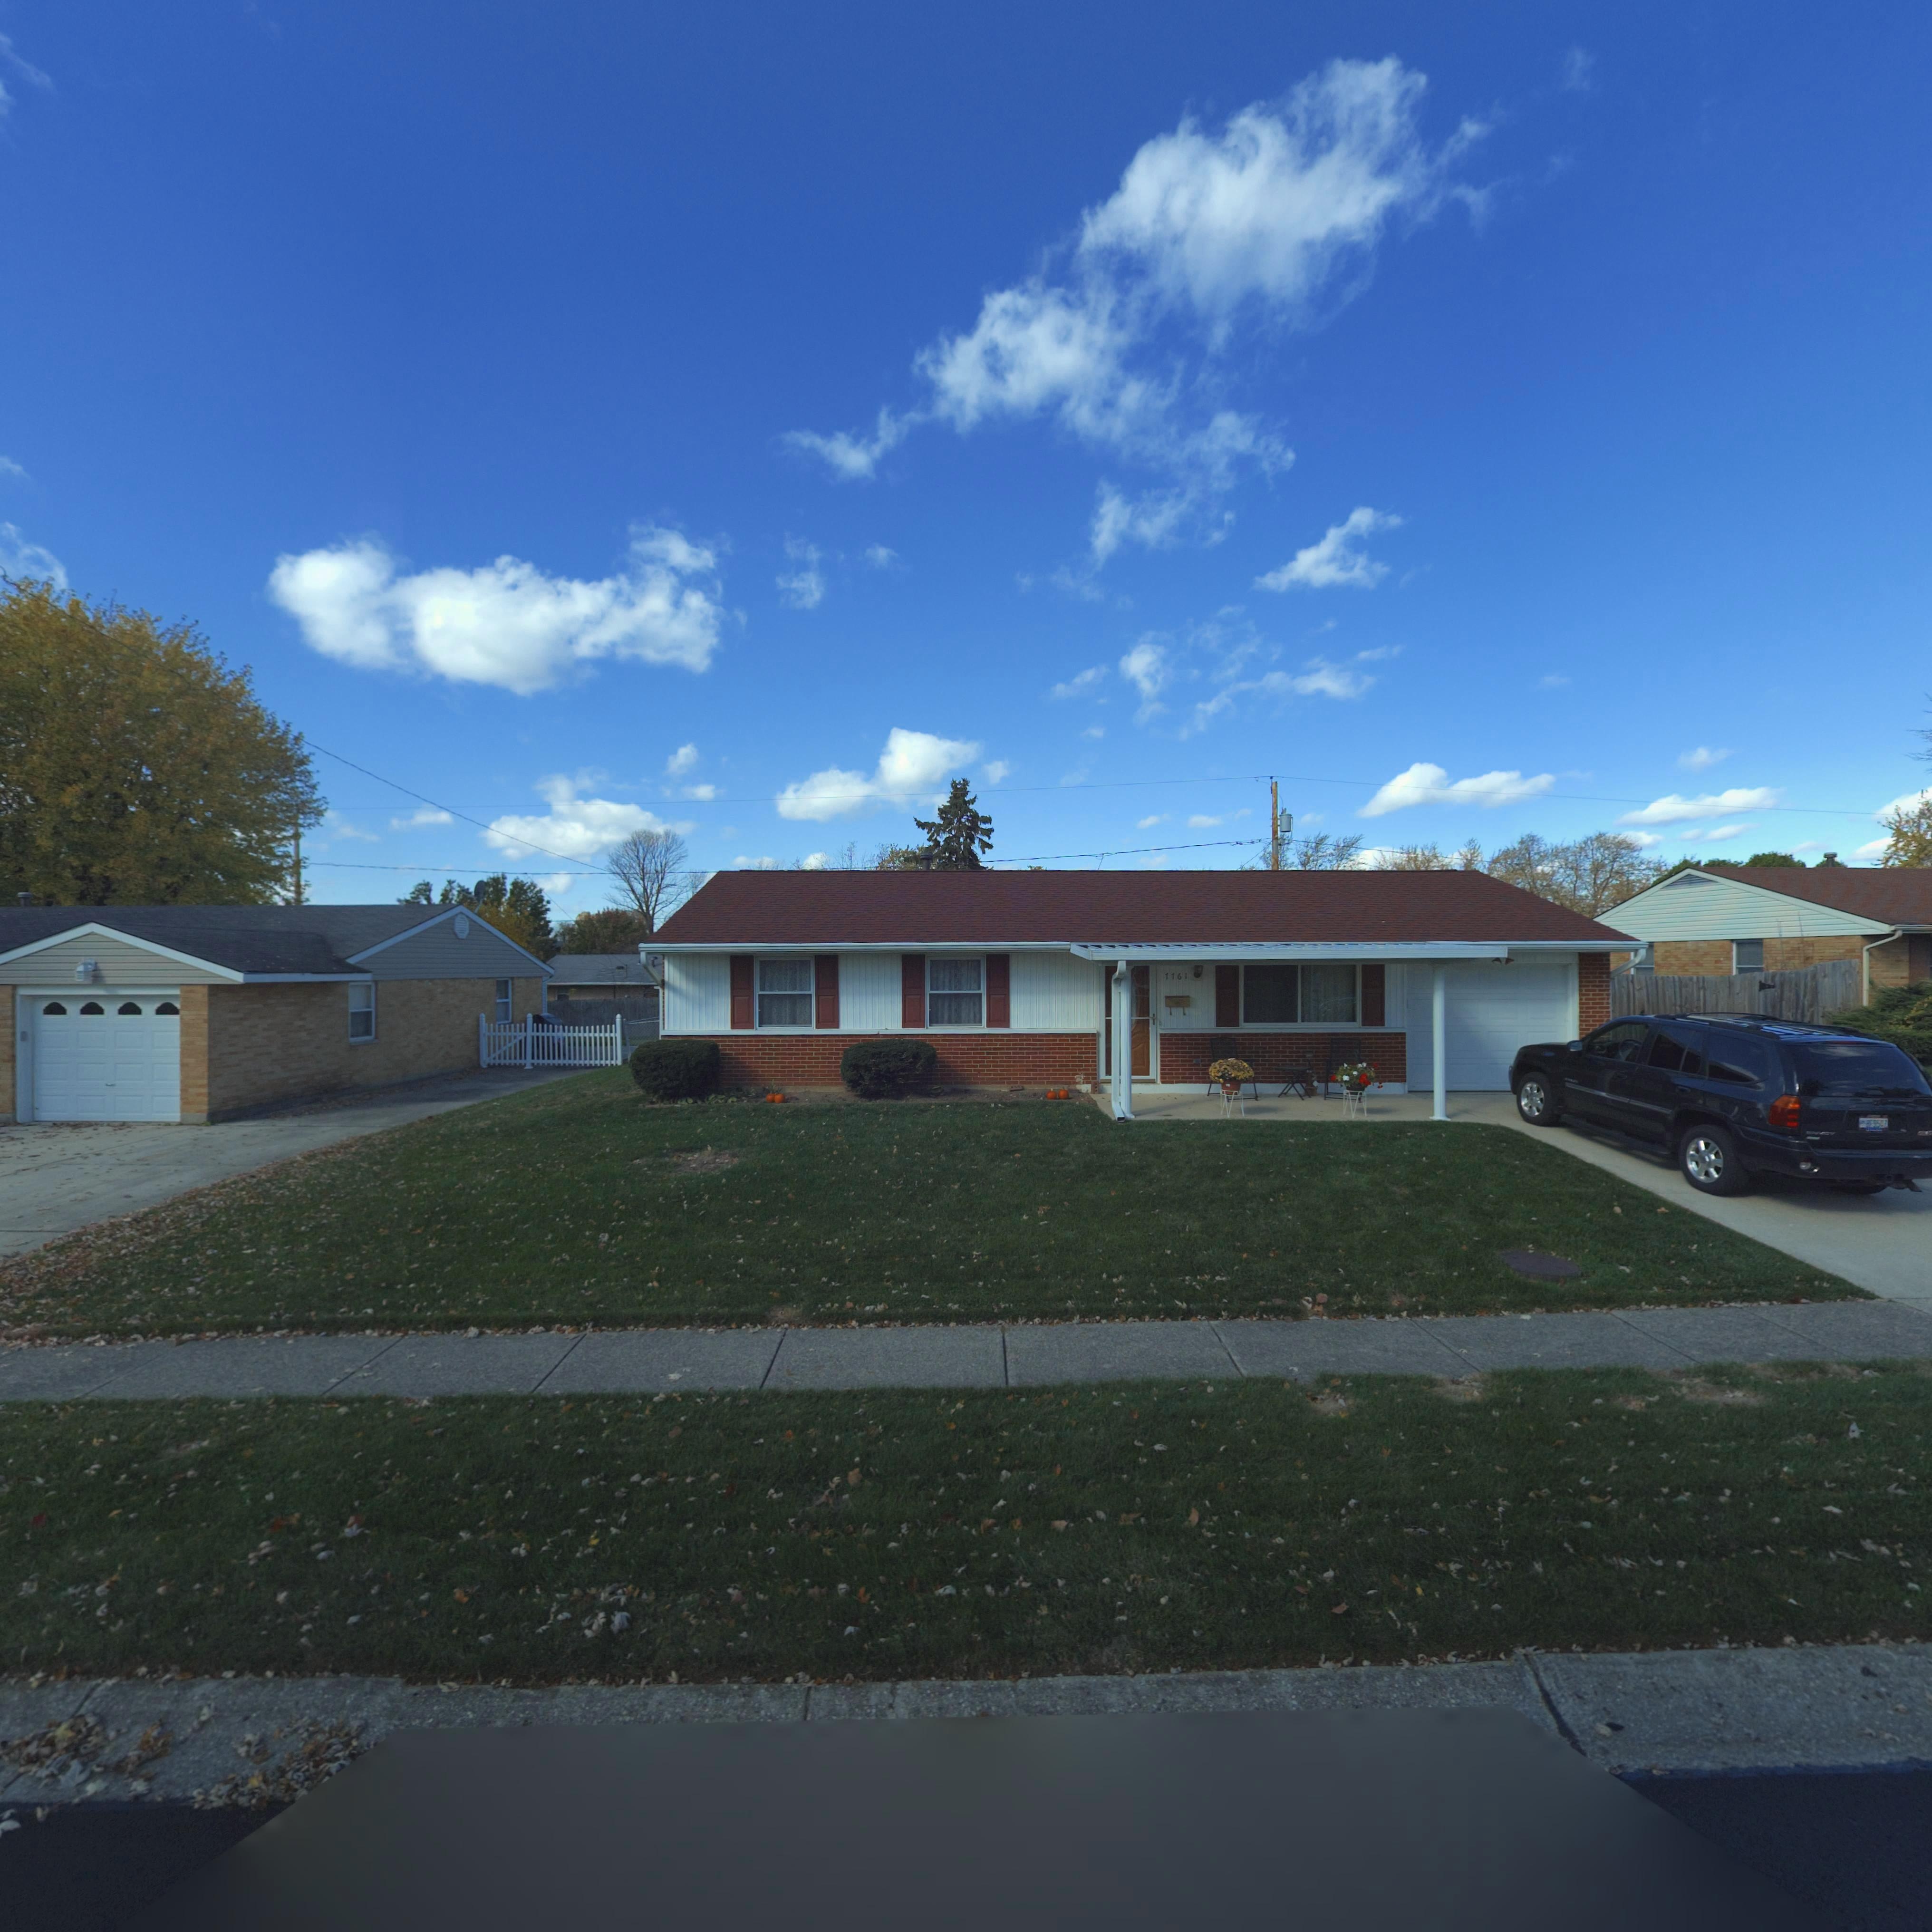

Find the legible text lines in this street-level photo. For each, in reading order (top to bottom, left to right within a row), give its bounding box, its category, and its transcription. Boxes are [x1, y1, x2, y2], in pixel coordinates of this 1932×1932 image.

[1164, 972, 1188, 981] StreetNumber: 7761